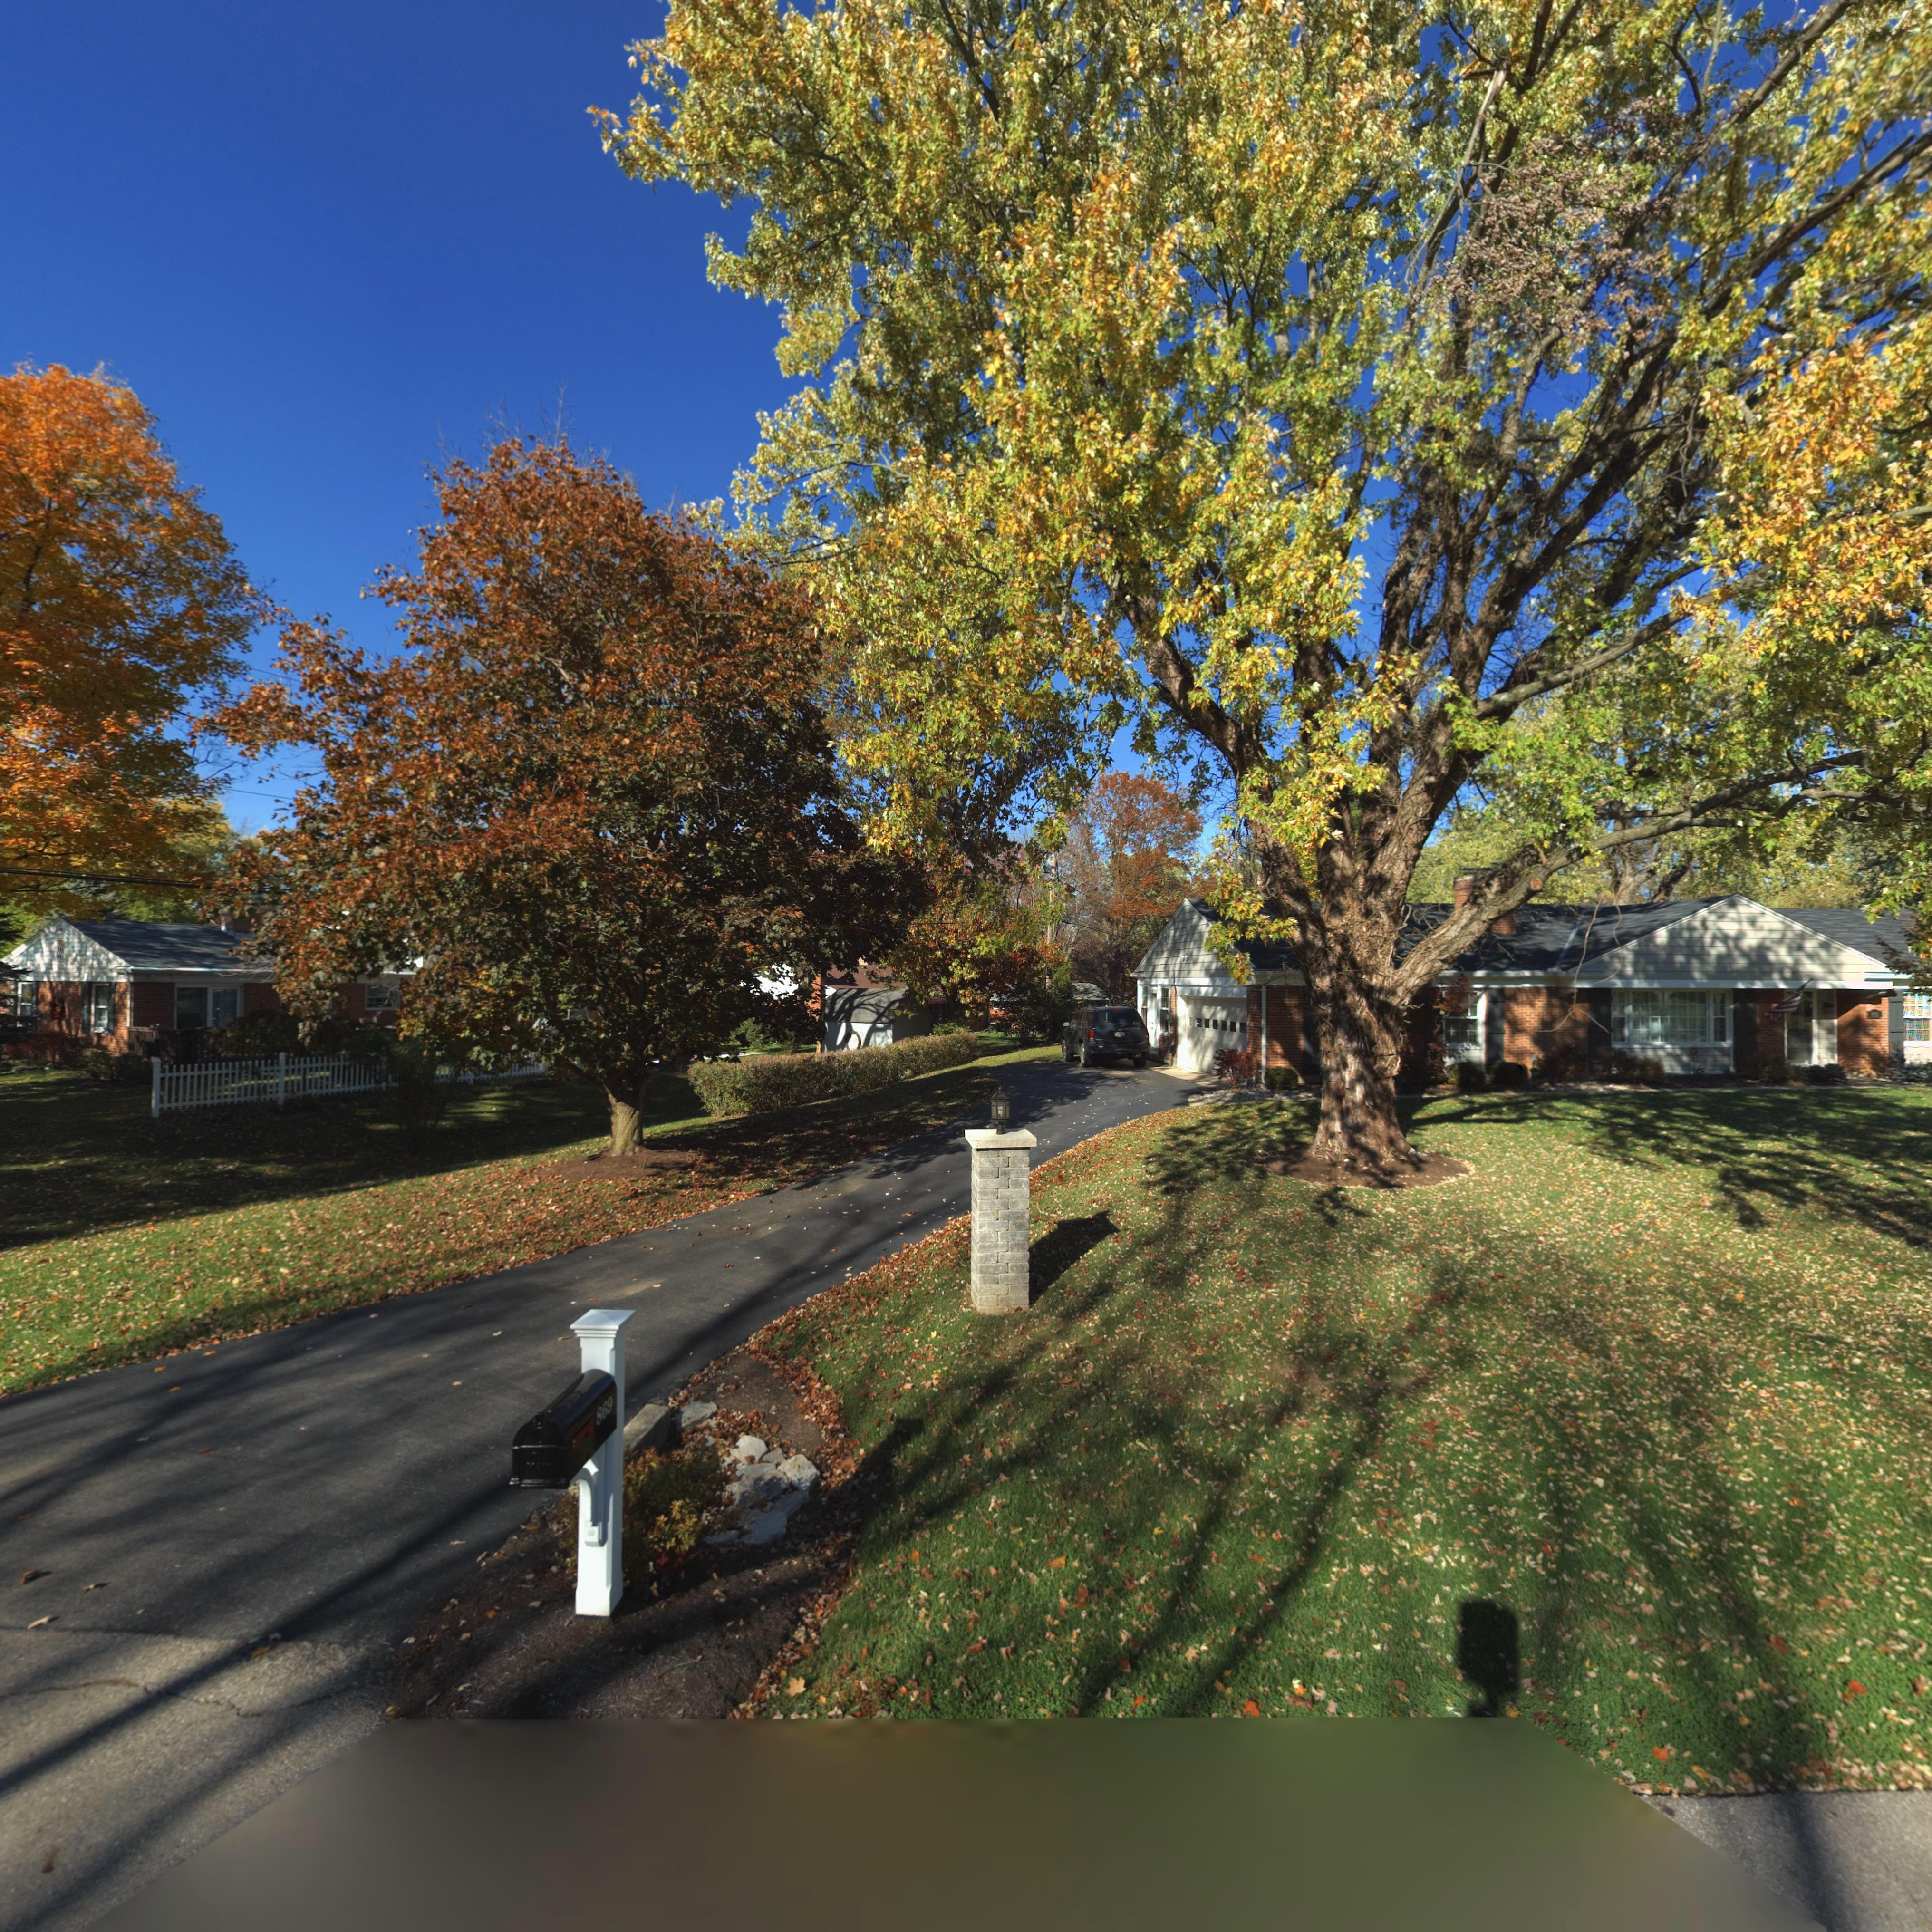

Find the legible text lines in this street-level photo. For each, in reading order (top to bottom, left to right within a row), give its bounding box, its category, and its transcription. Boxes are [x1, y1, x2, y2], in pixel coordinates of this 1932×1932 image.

[594, 1393, 615, 1428] StreetNumber: 869